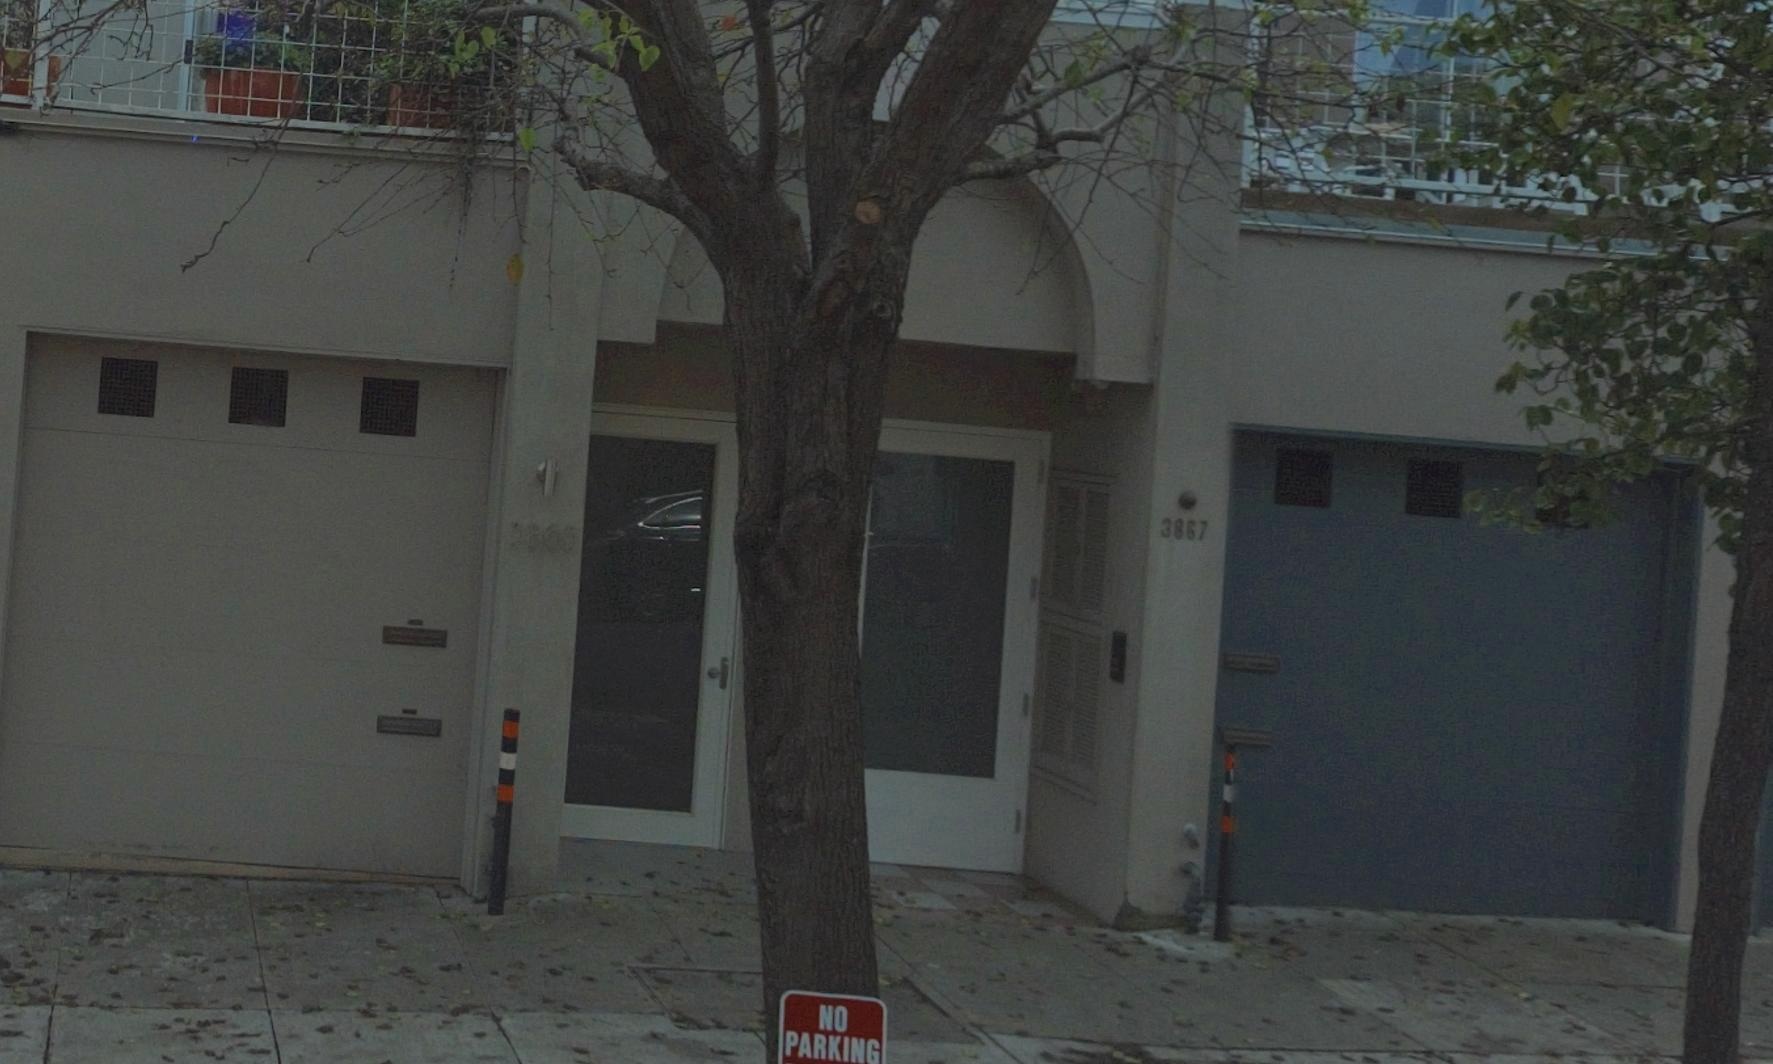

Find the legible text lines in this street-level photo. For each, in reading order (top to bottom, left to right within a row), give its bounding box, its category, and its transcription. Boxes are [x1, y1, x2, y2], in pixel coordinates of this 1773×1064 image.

[506, 519, 579, 550] StreetNumber: 3865
[1160, 516, 1211, 542] StreetNumber: 3867
[819, 1001, 849, 1032] None: NO
[784, 1029, 882, 1064] None: PARKING